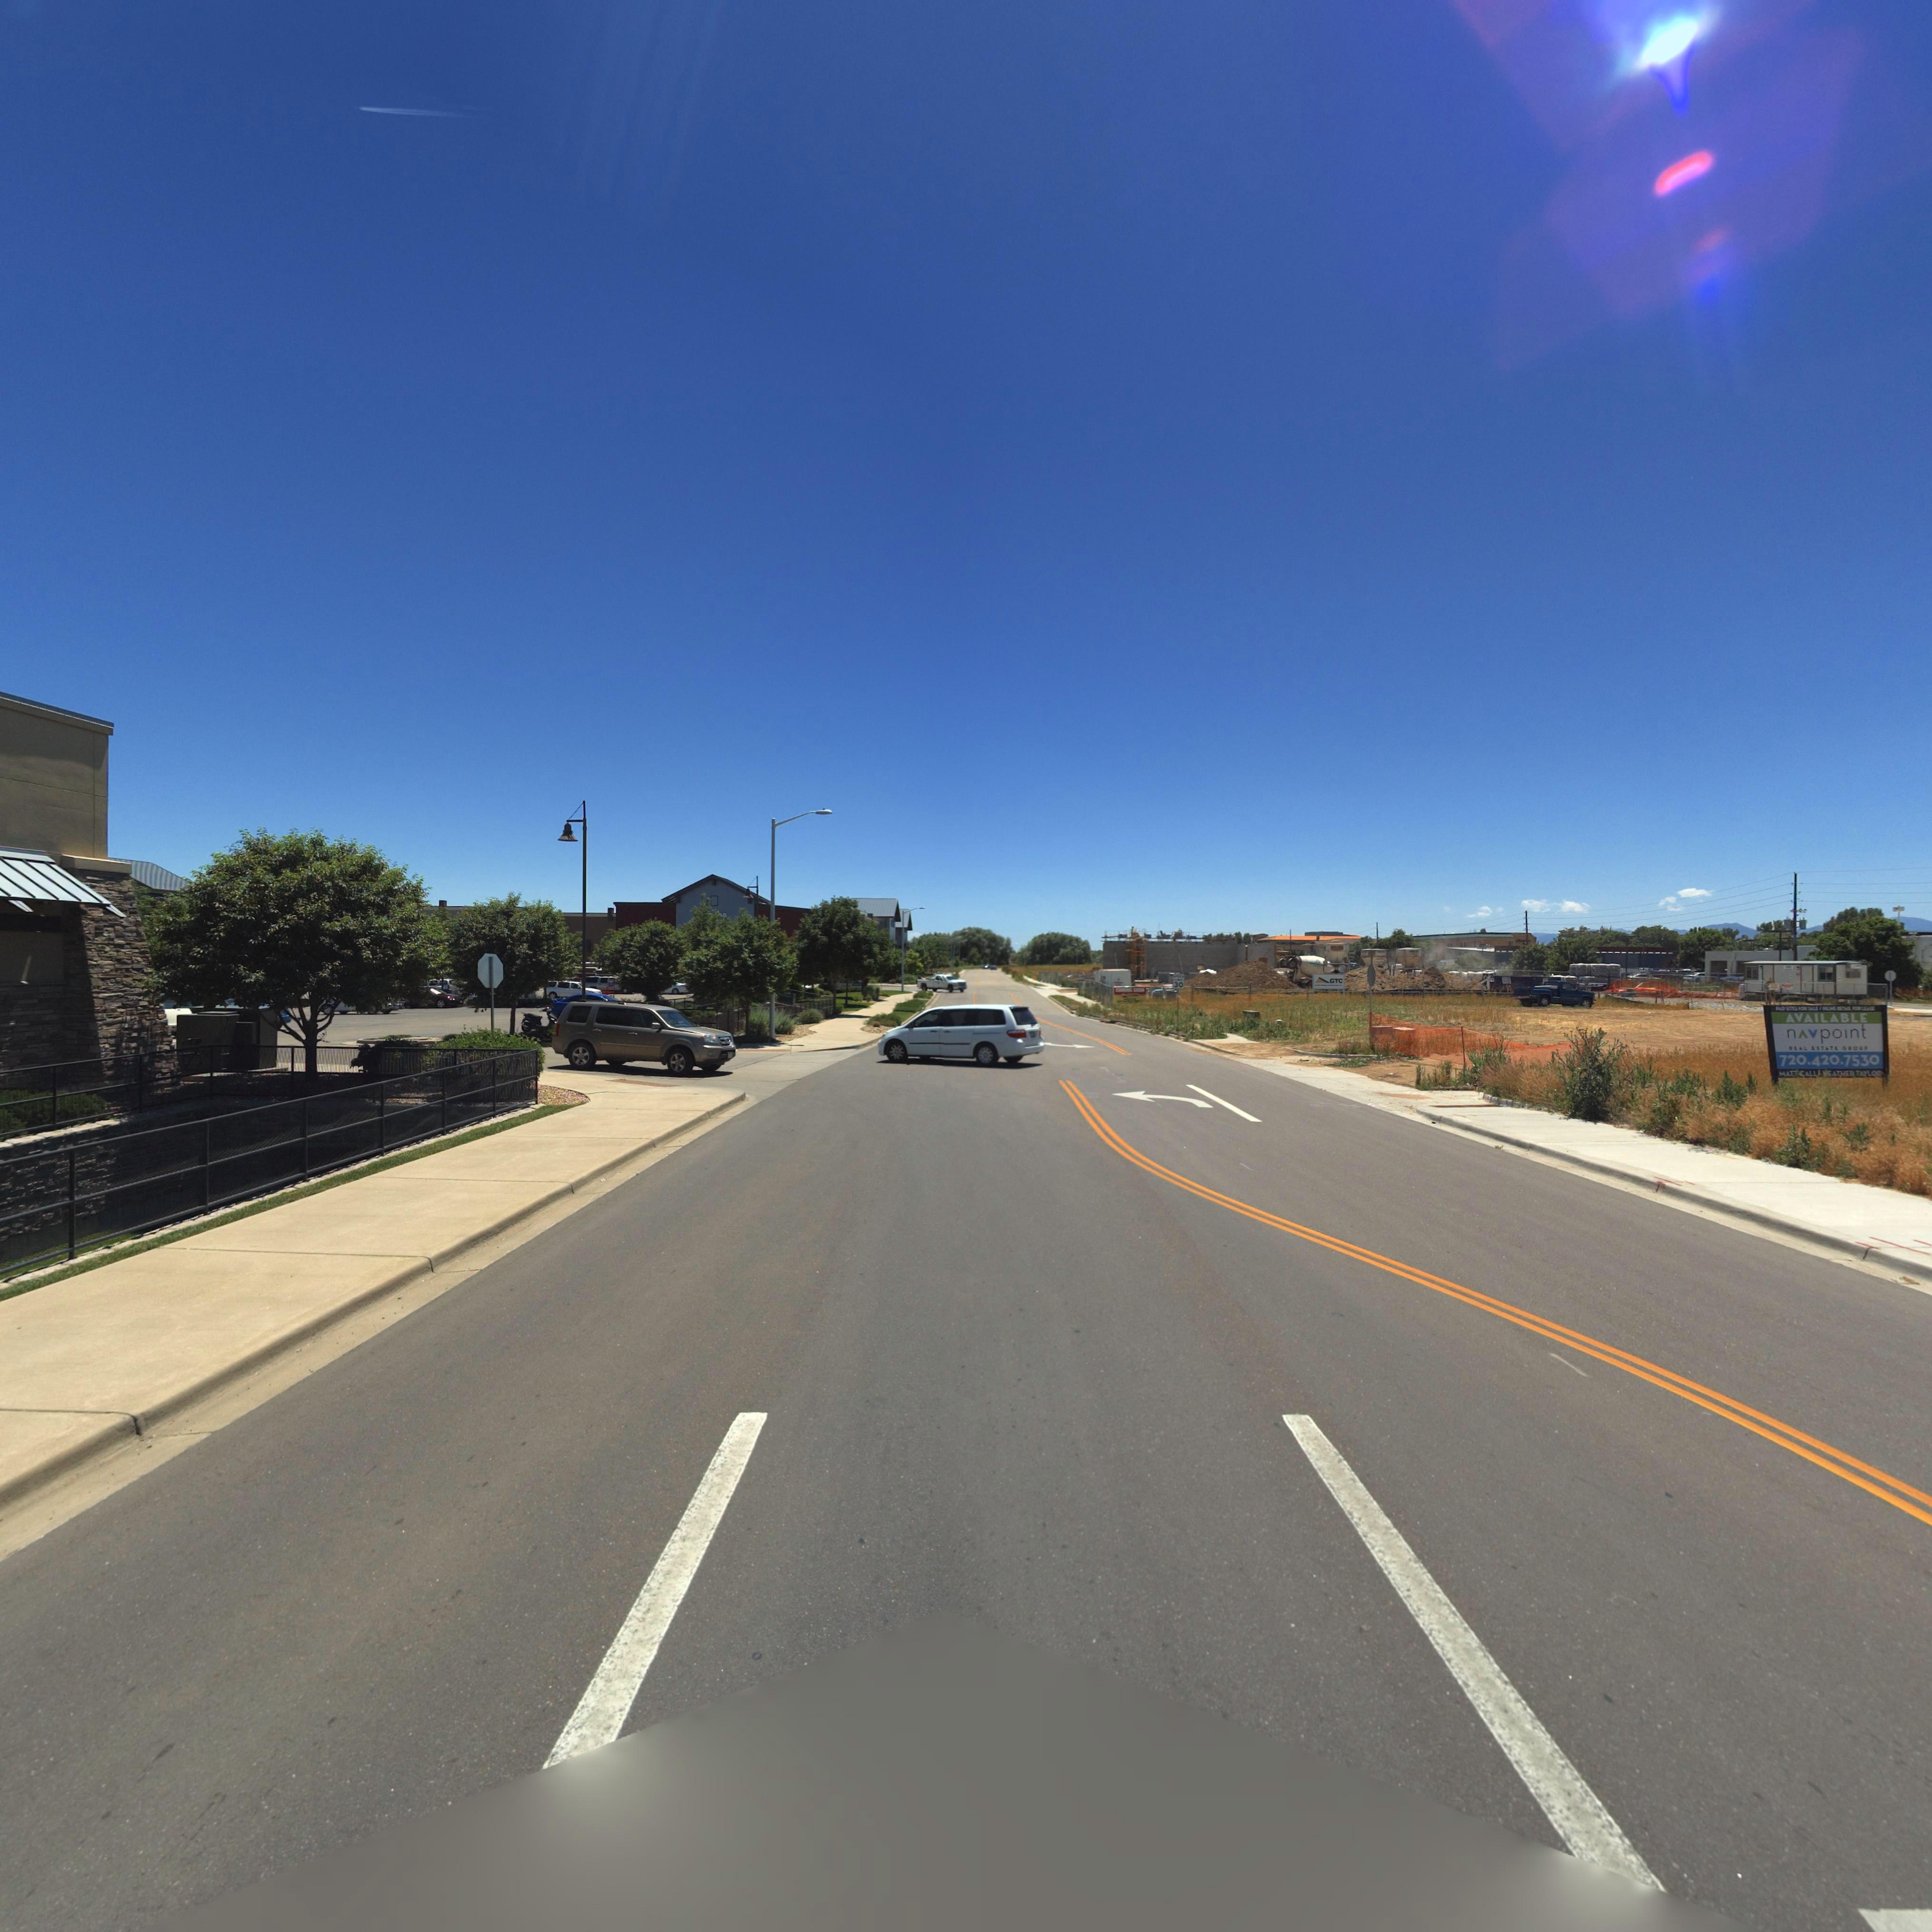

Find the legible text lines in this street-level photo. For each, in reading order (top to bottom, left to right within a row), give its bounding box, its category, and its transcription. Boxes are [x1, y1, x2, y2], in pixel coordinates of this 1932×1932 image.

[851, 982, 861, 986] BusinessName: L**E'S